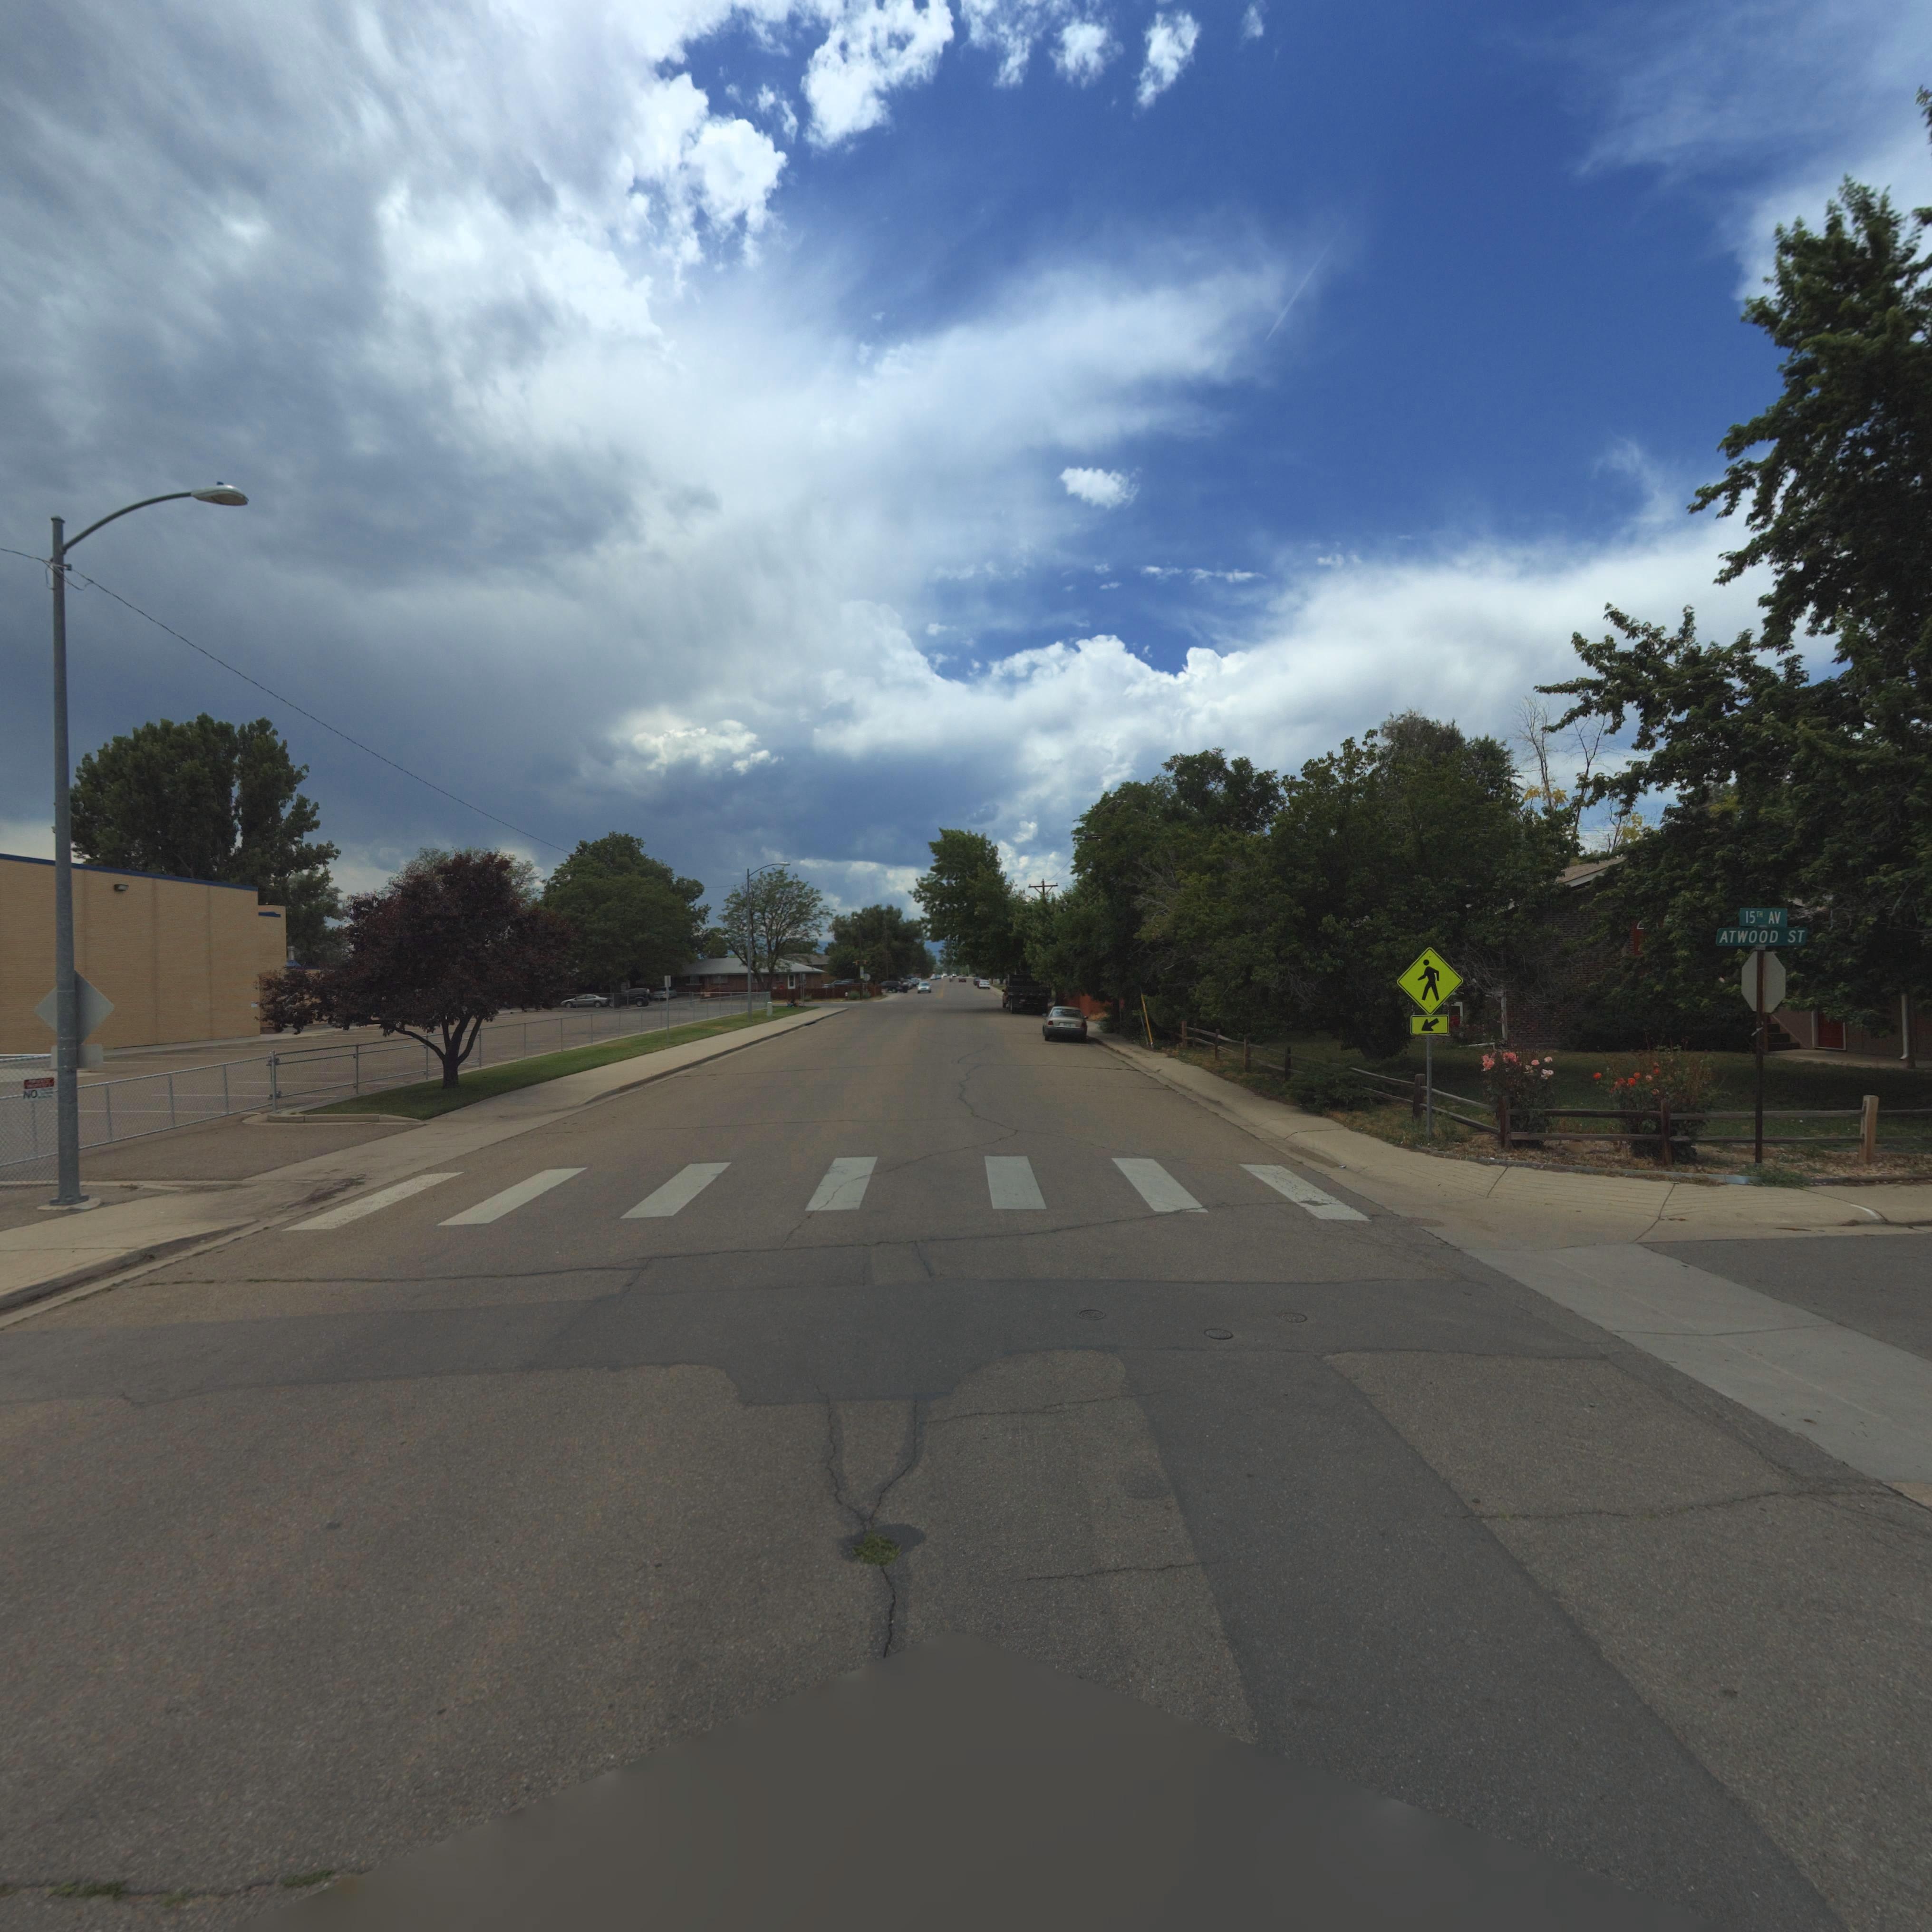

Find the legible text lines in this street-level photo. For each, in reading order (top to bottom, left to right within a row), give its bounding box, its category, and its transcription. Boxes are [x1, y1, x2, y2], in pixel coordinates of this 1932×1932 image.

[1745, 910, 1781, 925] StreetName: 15TH AV
[1719, 930, 1805, 943] StreetName: ATWOOD ST